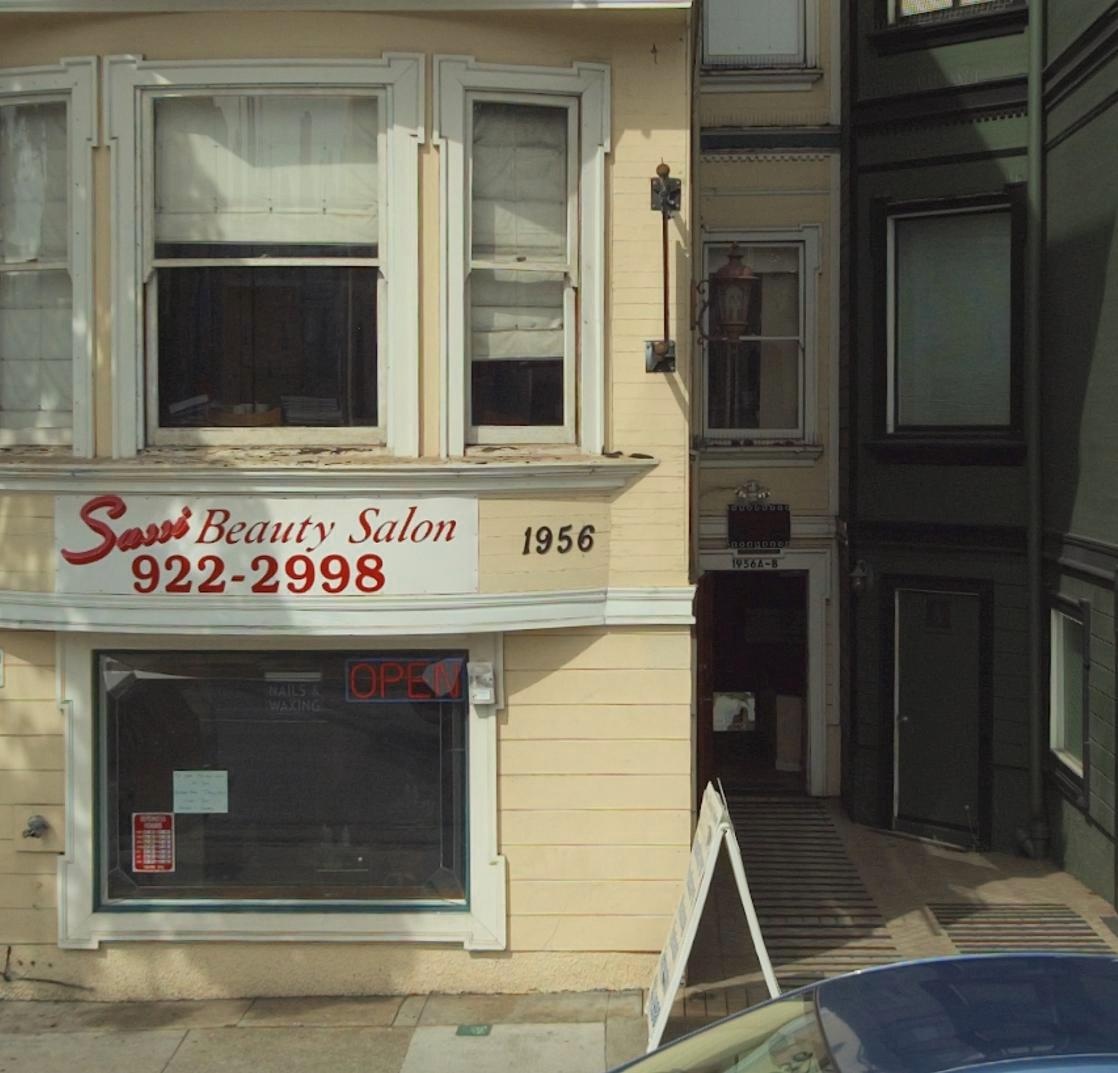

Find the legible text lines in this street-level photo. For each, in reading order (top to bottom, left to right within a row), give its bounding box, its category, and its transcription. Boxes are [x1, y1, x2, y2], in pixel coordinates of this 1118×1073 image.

[56, 492, 457, 567] BusinessName: Savi Beauty Salon
[522, 524, 595, 555] StreetNumber: 1956
[132, 555, 385, 594] None: 922-2998
[732, 558, 780, 569] StreetNumber: 1956A-B
[267, 684, 319, 697] None: NAILS &
[269, 699, 321, 713] None: WAXING
[349, 661, 459, 699] None: OPEN